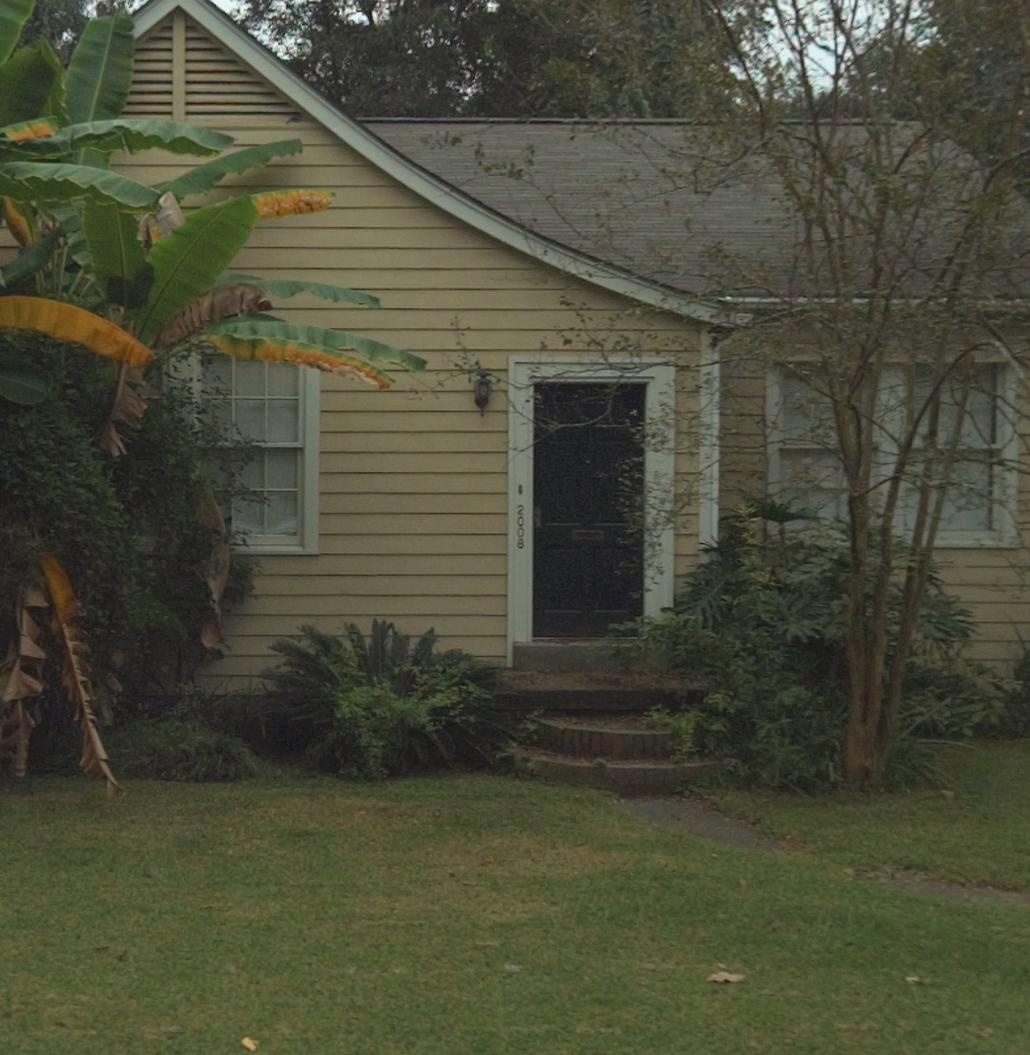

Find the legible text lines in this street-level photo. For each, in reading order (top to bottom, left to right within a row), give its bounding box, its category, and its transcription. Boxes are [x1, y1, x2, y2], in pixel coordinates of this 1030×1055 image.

[515, 504, 525, 550] StreetNumber: 2008